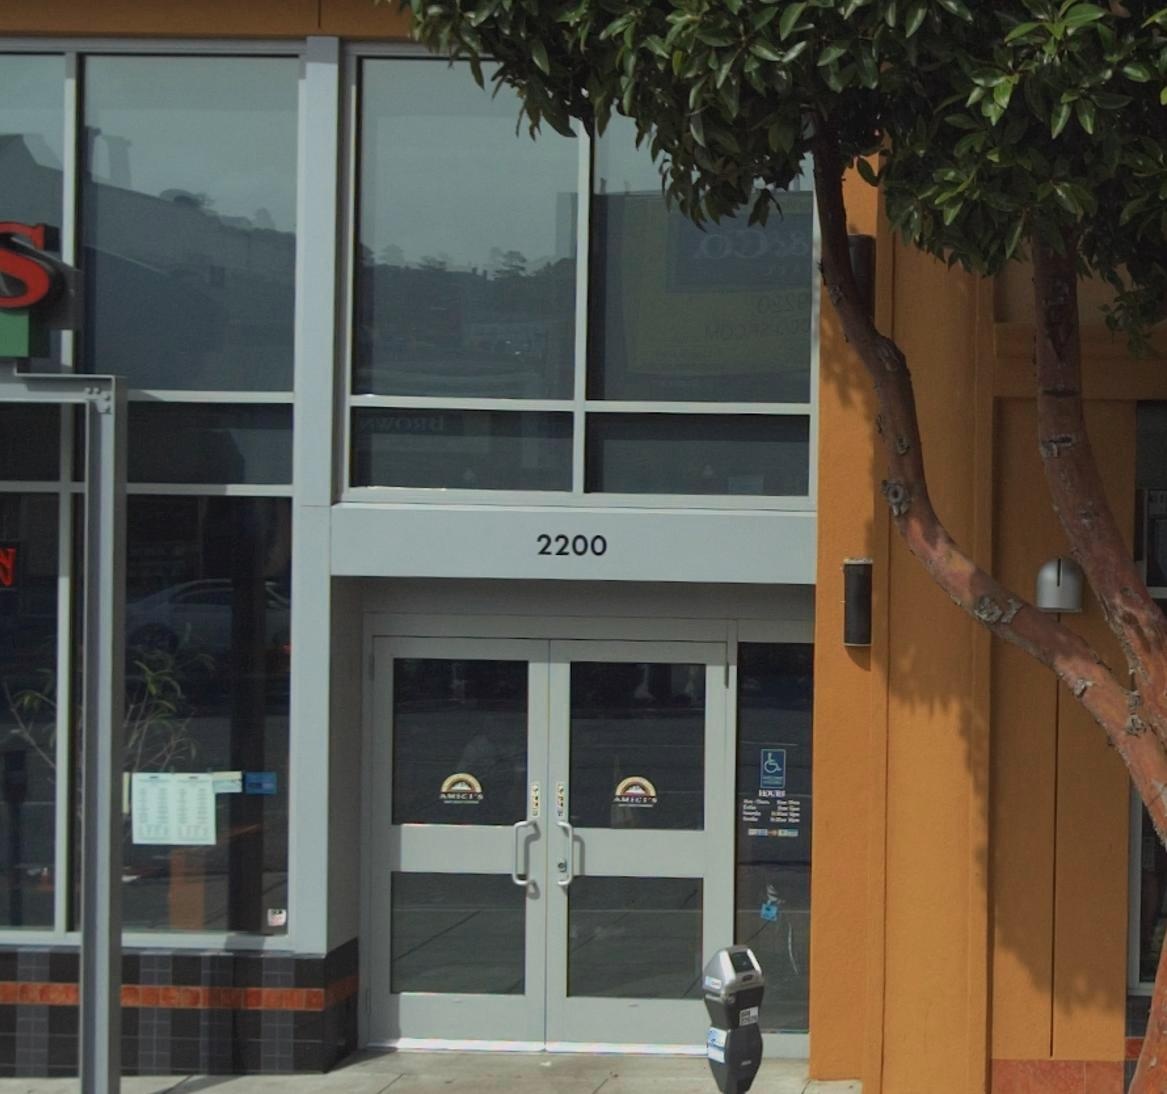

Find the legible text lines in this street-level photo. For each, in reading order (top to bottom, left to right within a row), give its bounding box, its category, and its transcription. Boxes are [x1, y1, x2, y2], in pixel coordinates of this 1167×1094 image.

[690, 227, 808, 263] None: .o**
[757, 292, 809, 314] None: 0**0
[705, 321, 770, 342] None: MO*.**
[358, 415, 445, 434] None: *WO**
[536, 534, 608, 556] StreetNumber: 2200
[439, 793, 484, 800] BusinessName: AMICI'S
[531, 784, 539, 812] None: PULL
[557, 784, 565, 811] None: PULL
[612, 796, 658, 804] BusinessName: AMICI'S